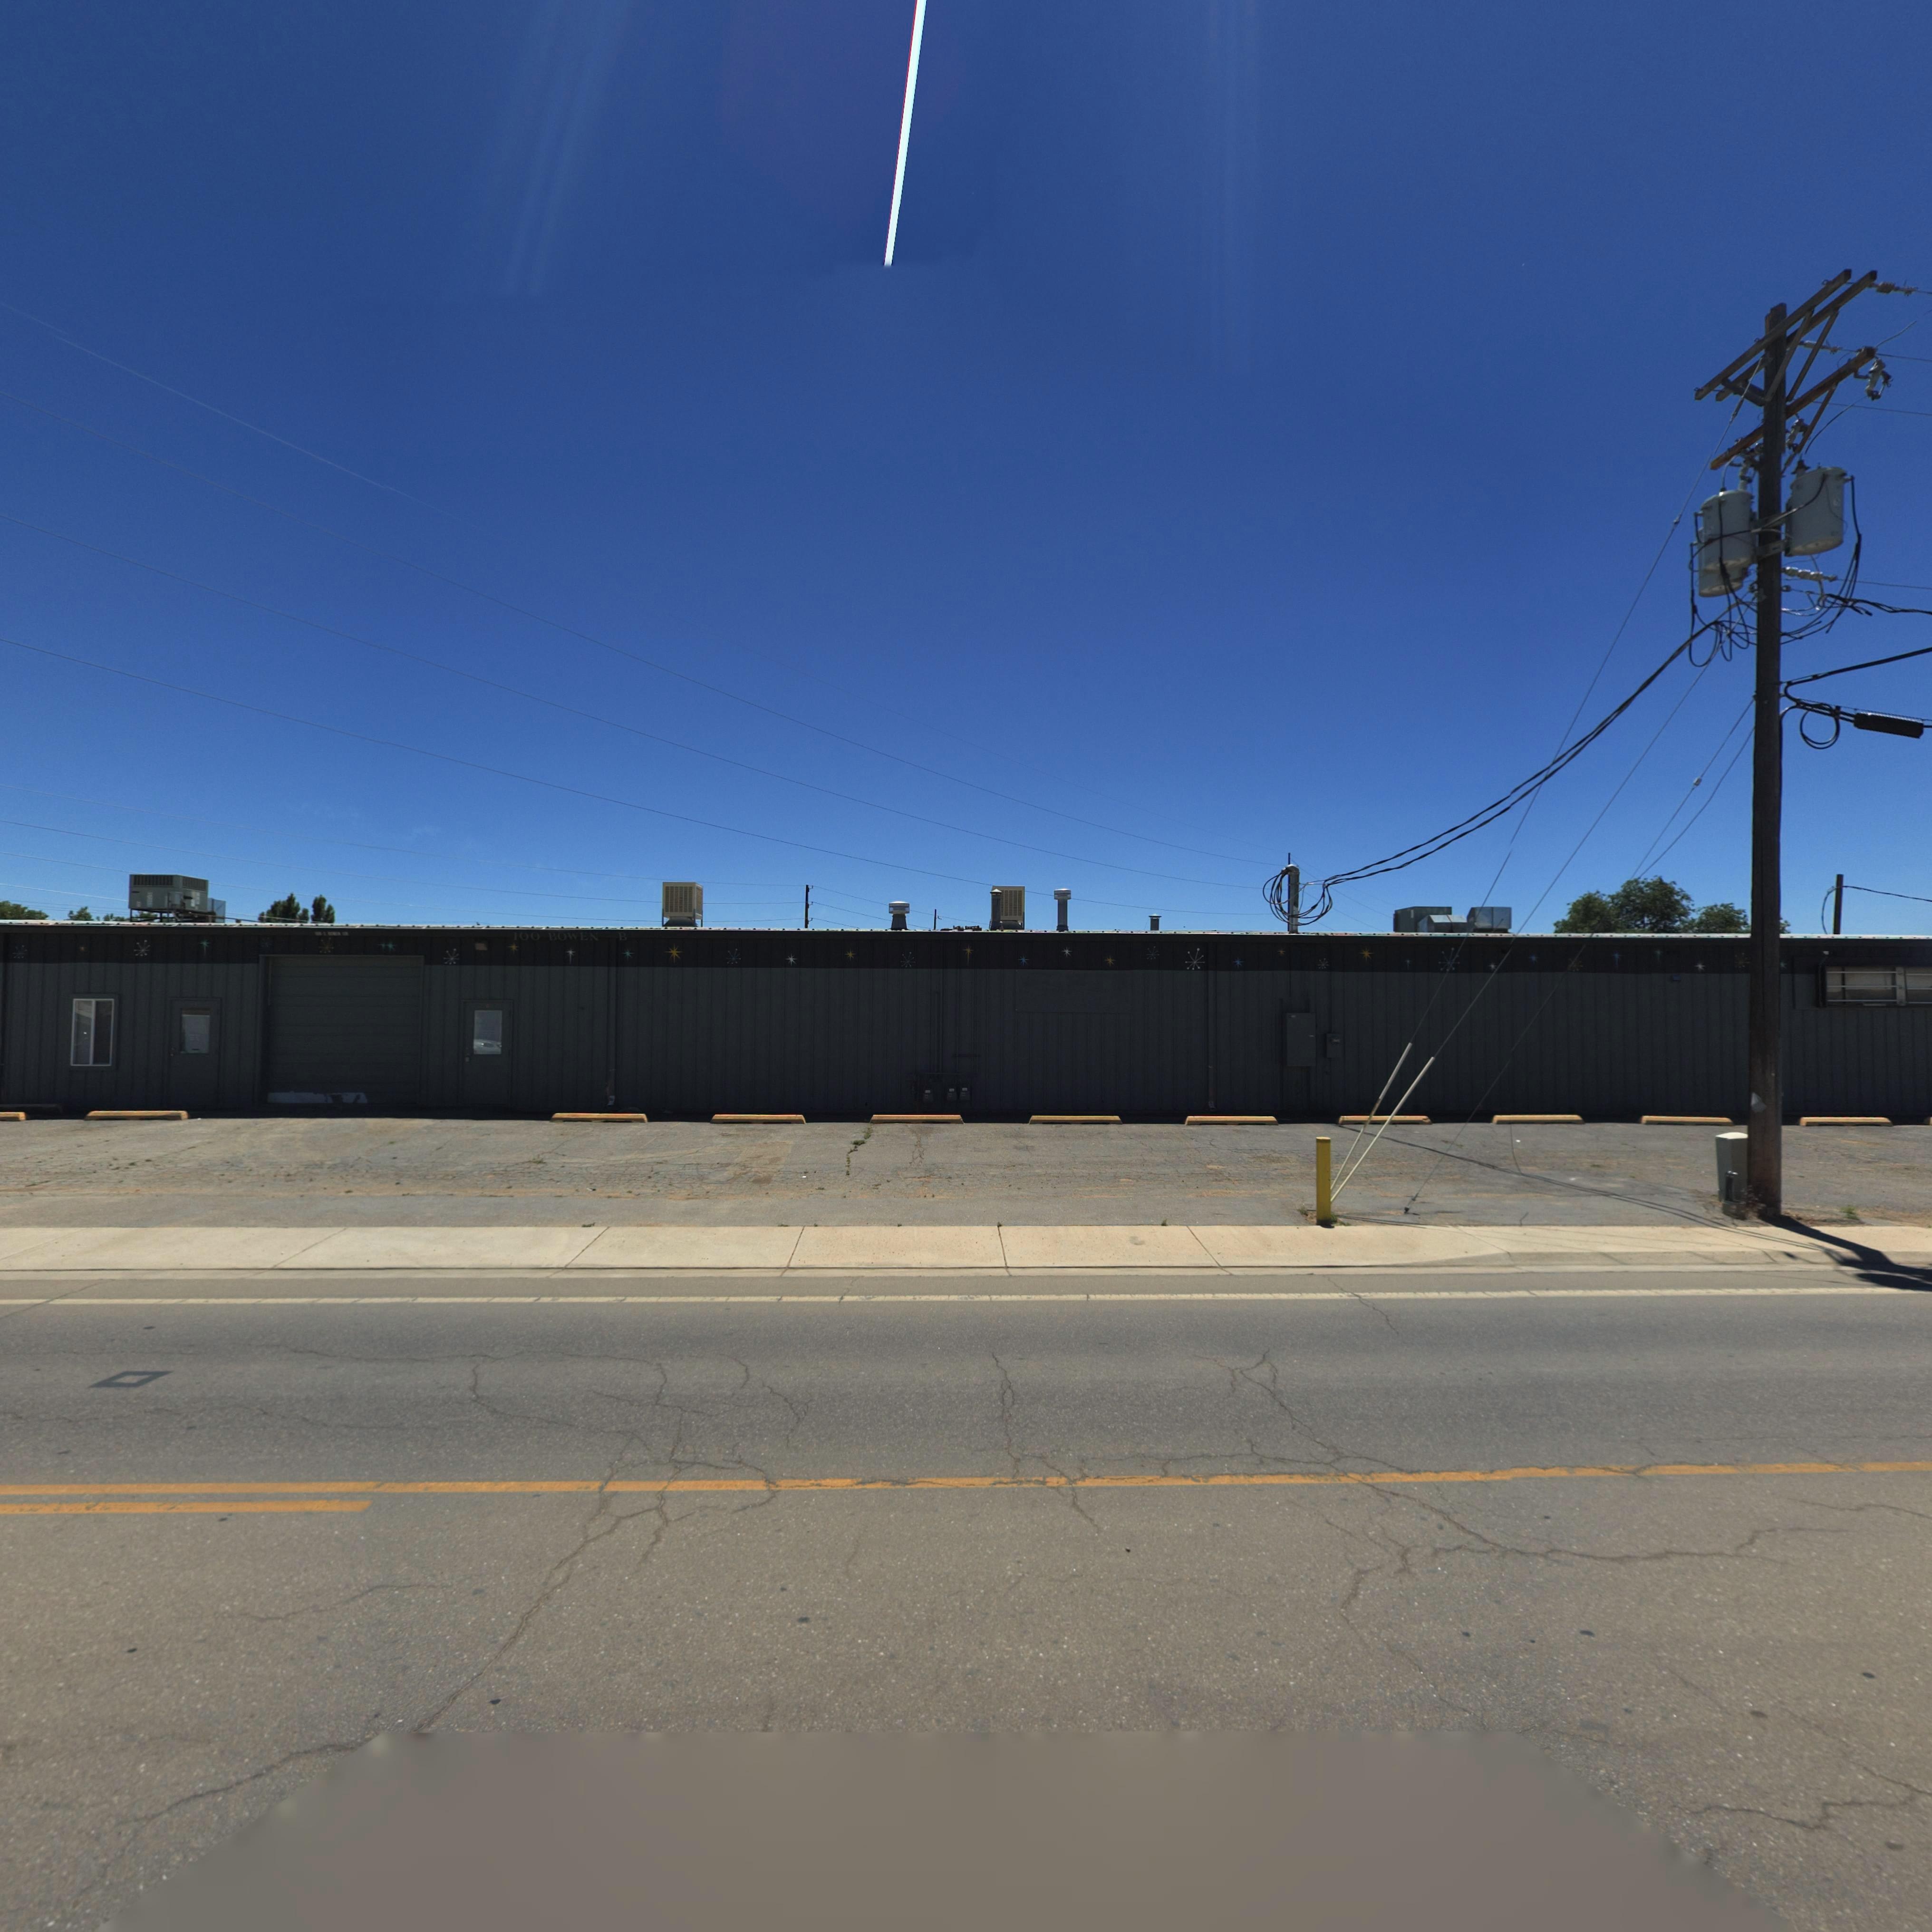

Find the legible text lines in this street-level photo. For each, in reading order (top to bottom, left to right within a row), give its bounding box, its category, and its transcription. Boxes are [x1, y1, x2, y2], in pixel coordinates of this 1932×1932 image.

[314, 931, 322, 936] StreetNumber: *00
[322, 931, 349, 936] StreetName: S. ***** CIR
[513, 931, 541, 941] StreetNumber: 100
[547, 931, 599, 942] StreetName: BOWEN